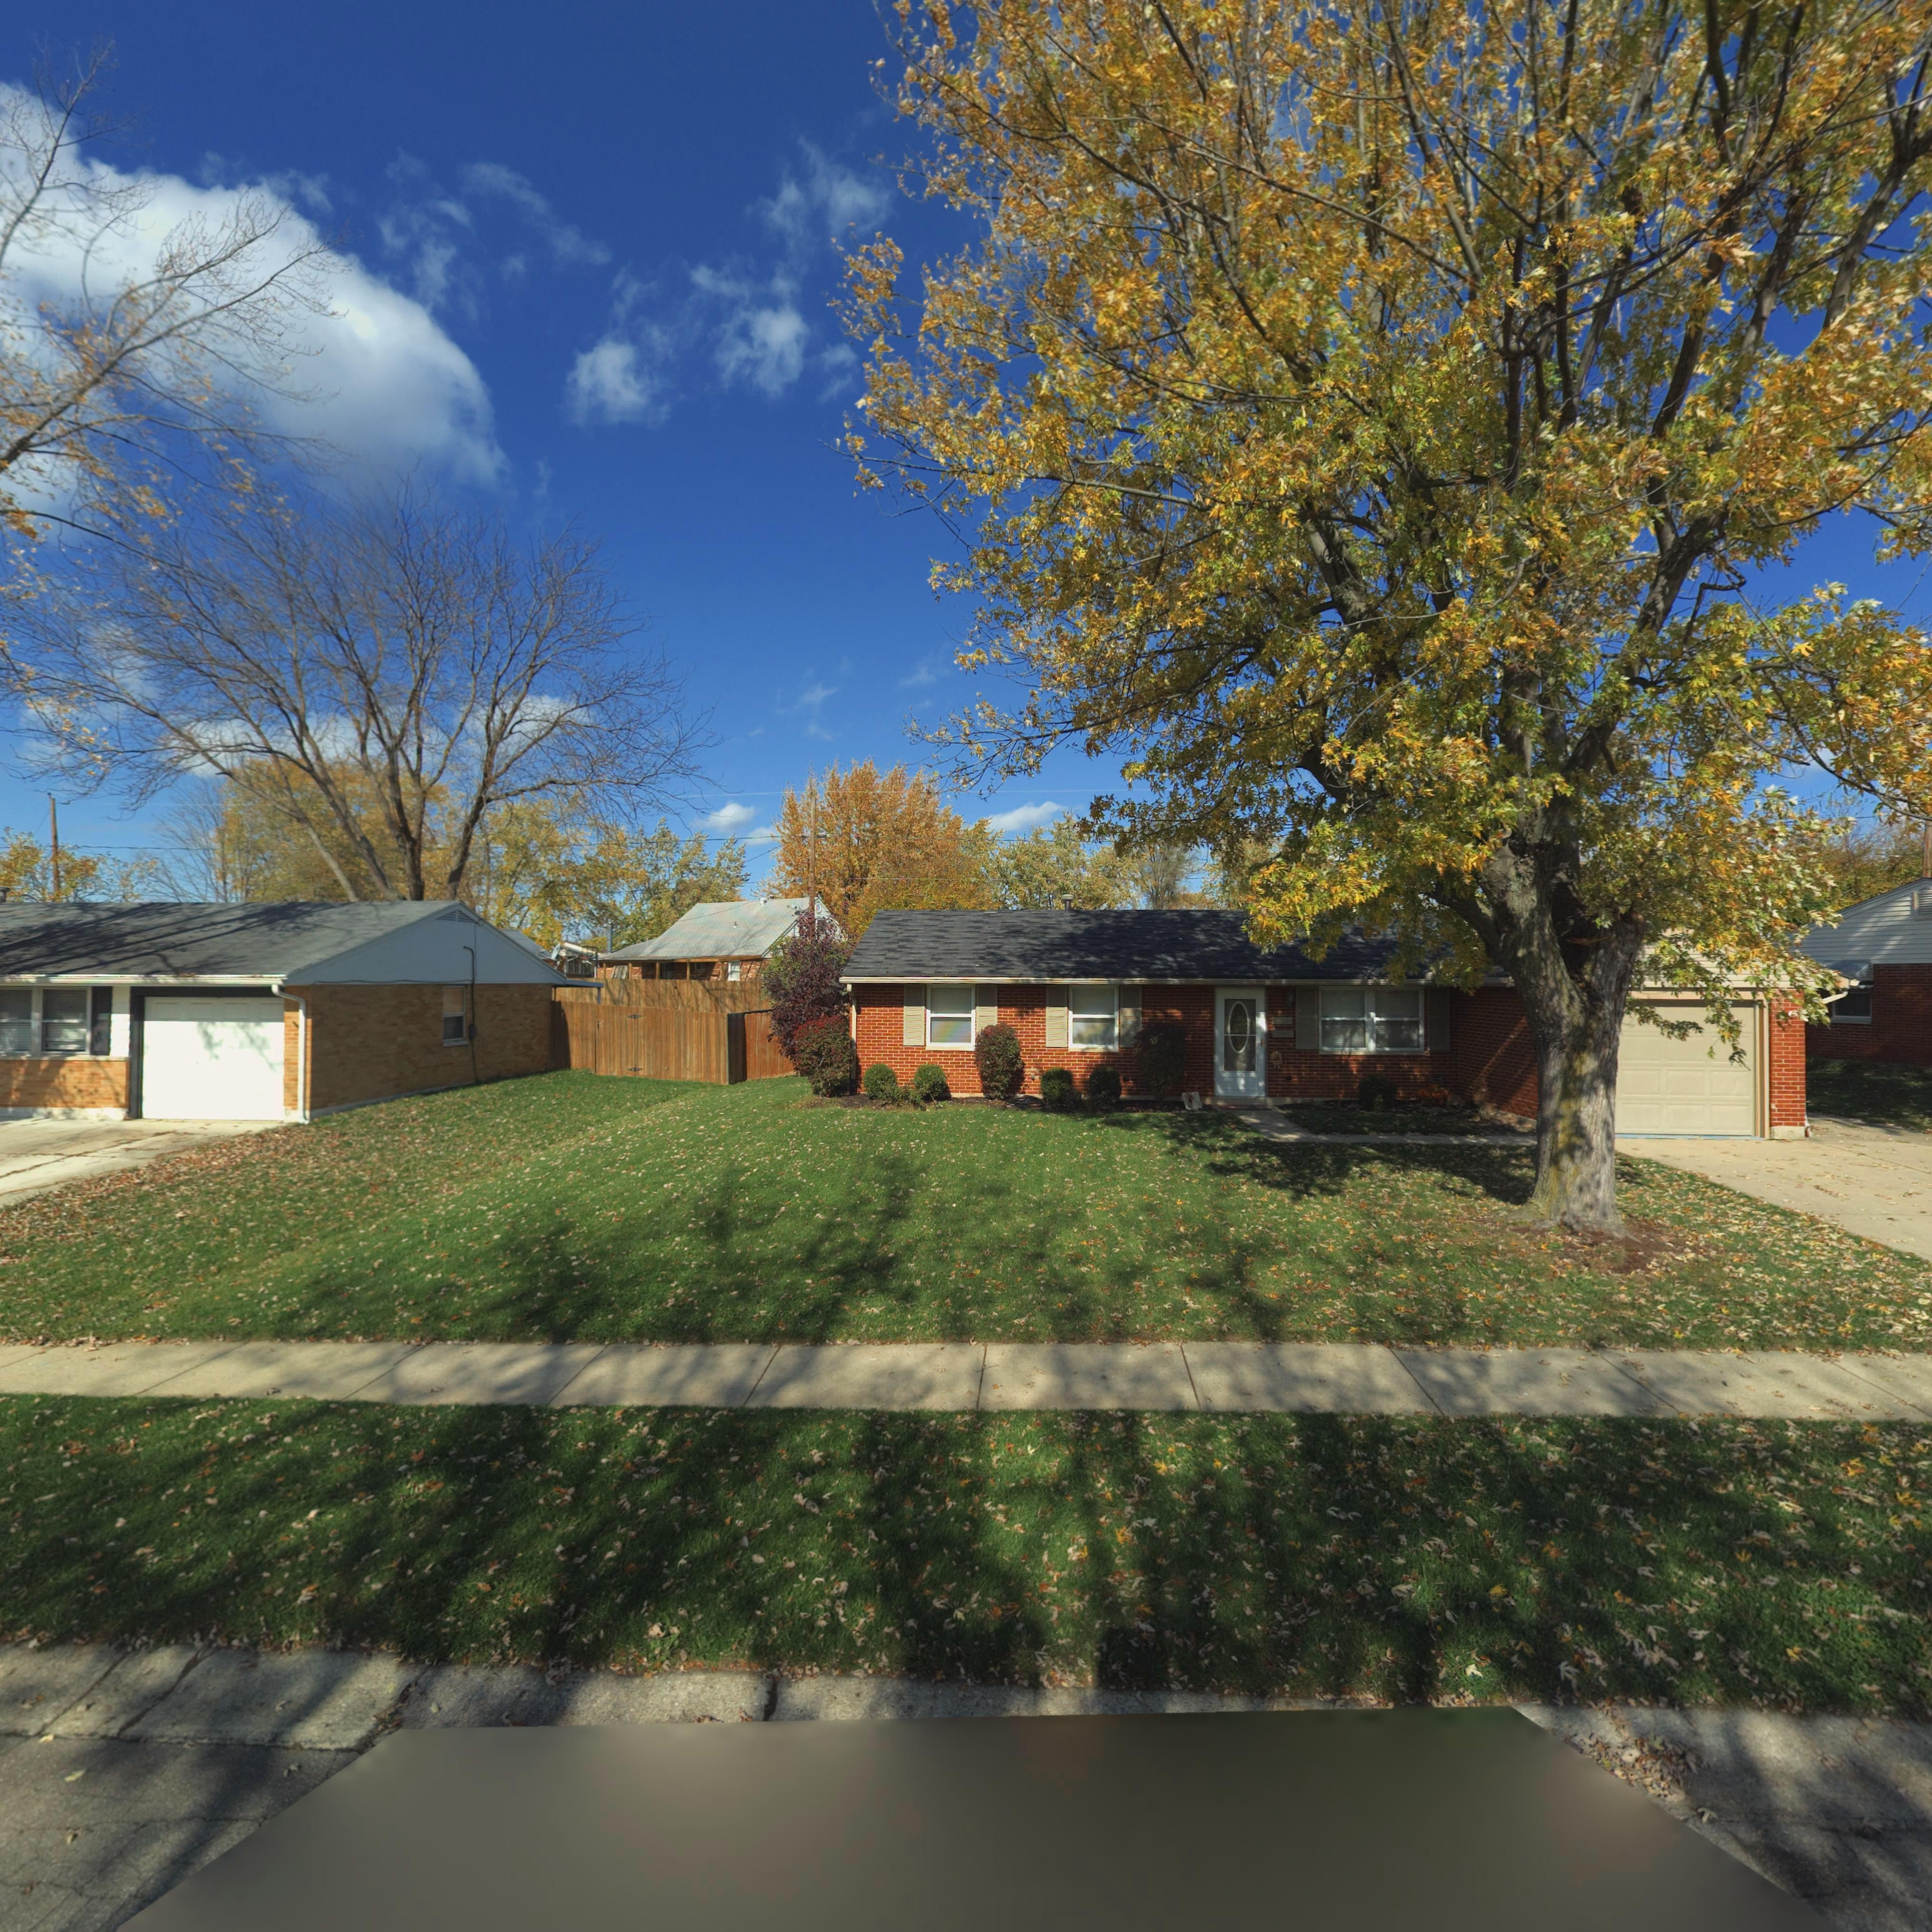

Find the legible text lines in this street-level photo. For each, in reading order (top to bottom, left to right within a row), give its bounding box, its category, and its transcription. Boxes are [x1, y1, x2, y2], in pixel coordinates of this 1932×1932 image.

[1271, 1017, 1293, 1024] StreetNumber: 7615